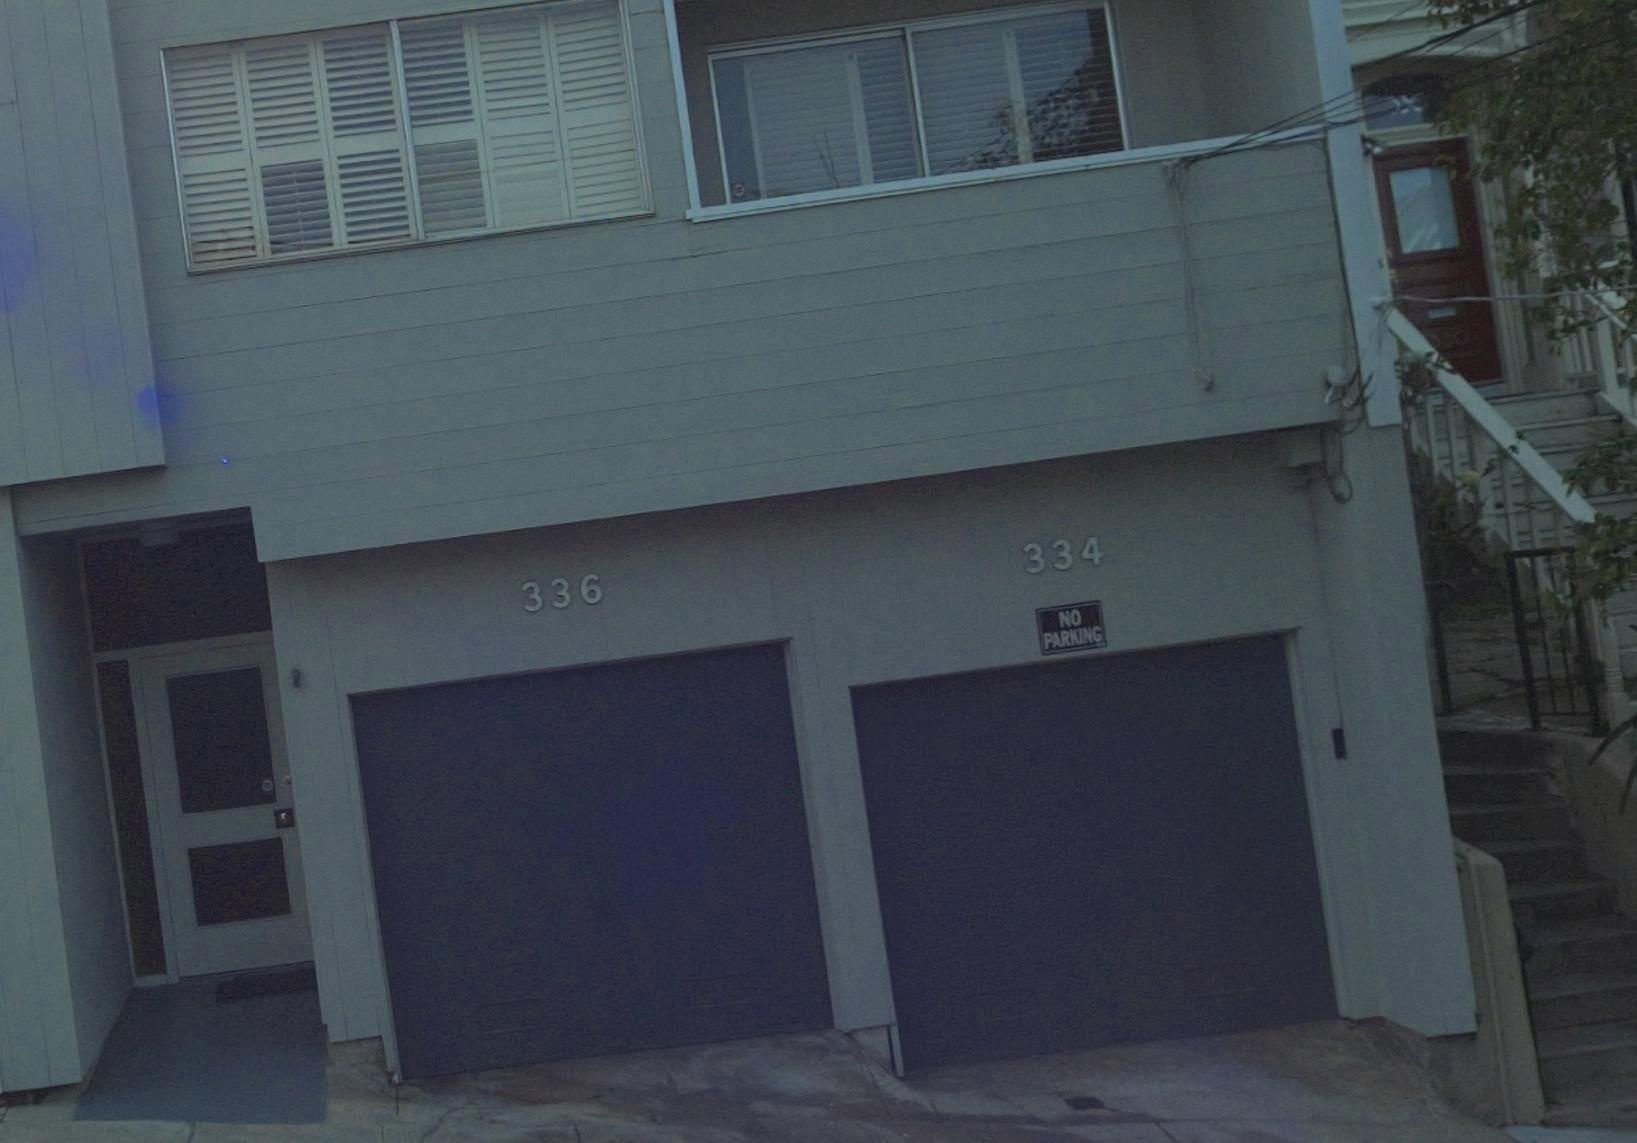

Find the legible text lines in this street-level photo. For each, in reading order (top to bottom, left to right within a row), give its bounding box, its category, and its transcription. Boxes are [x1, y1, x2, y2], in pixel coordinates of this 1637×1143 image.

[1020, 534, 1105, 576] StreetNumber: 334
[520, 571, 605, 614] StreetNumber: 336
[1058, 607, 1082, 630] None: NO
[1043, 625, 1104, 651] None: PARKING